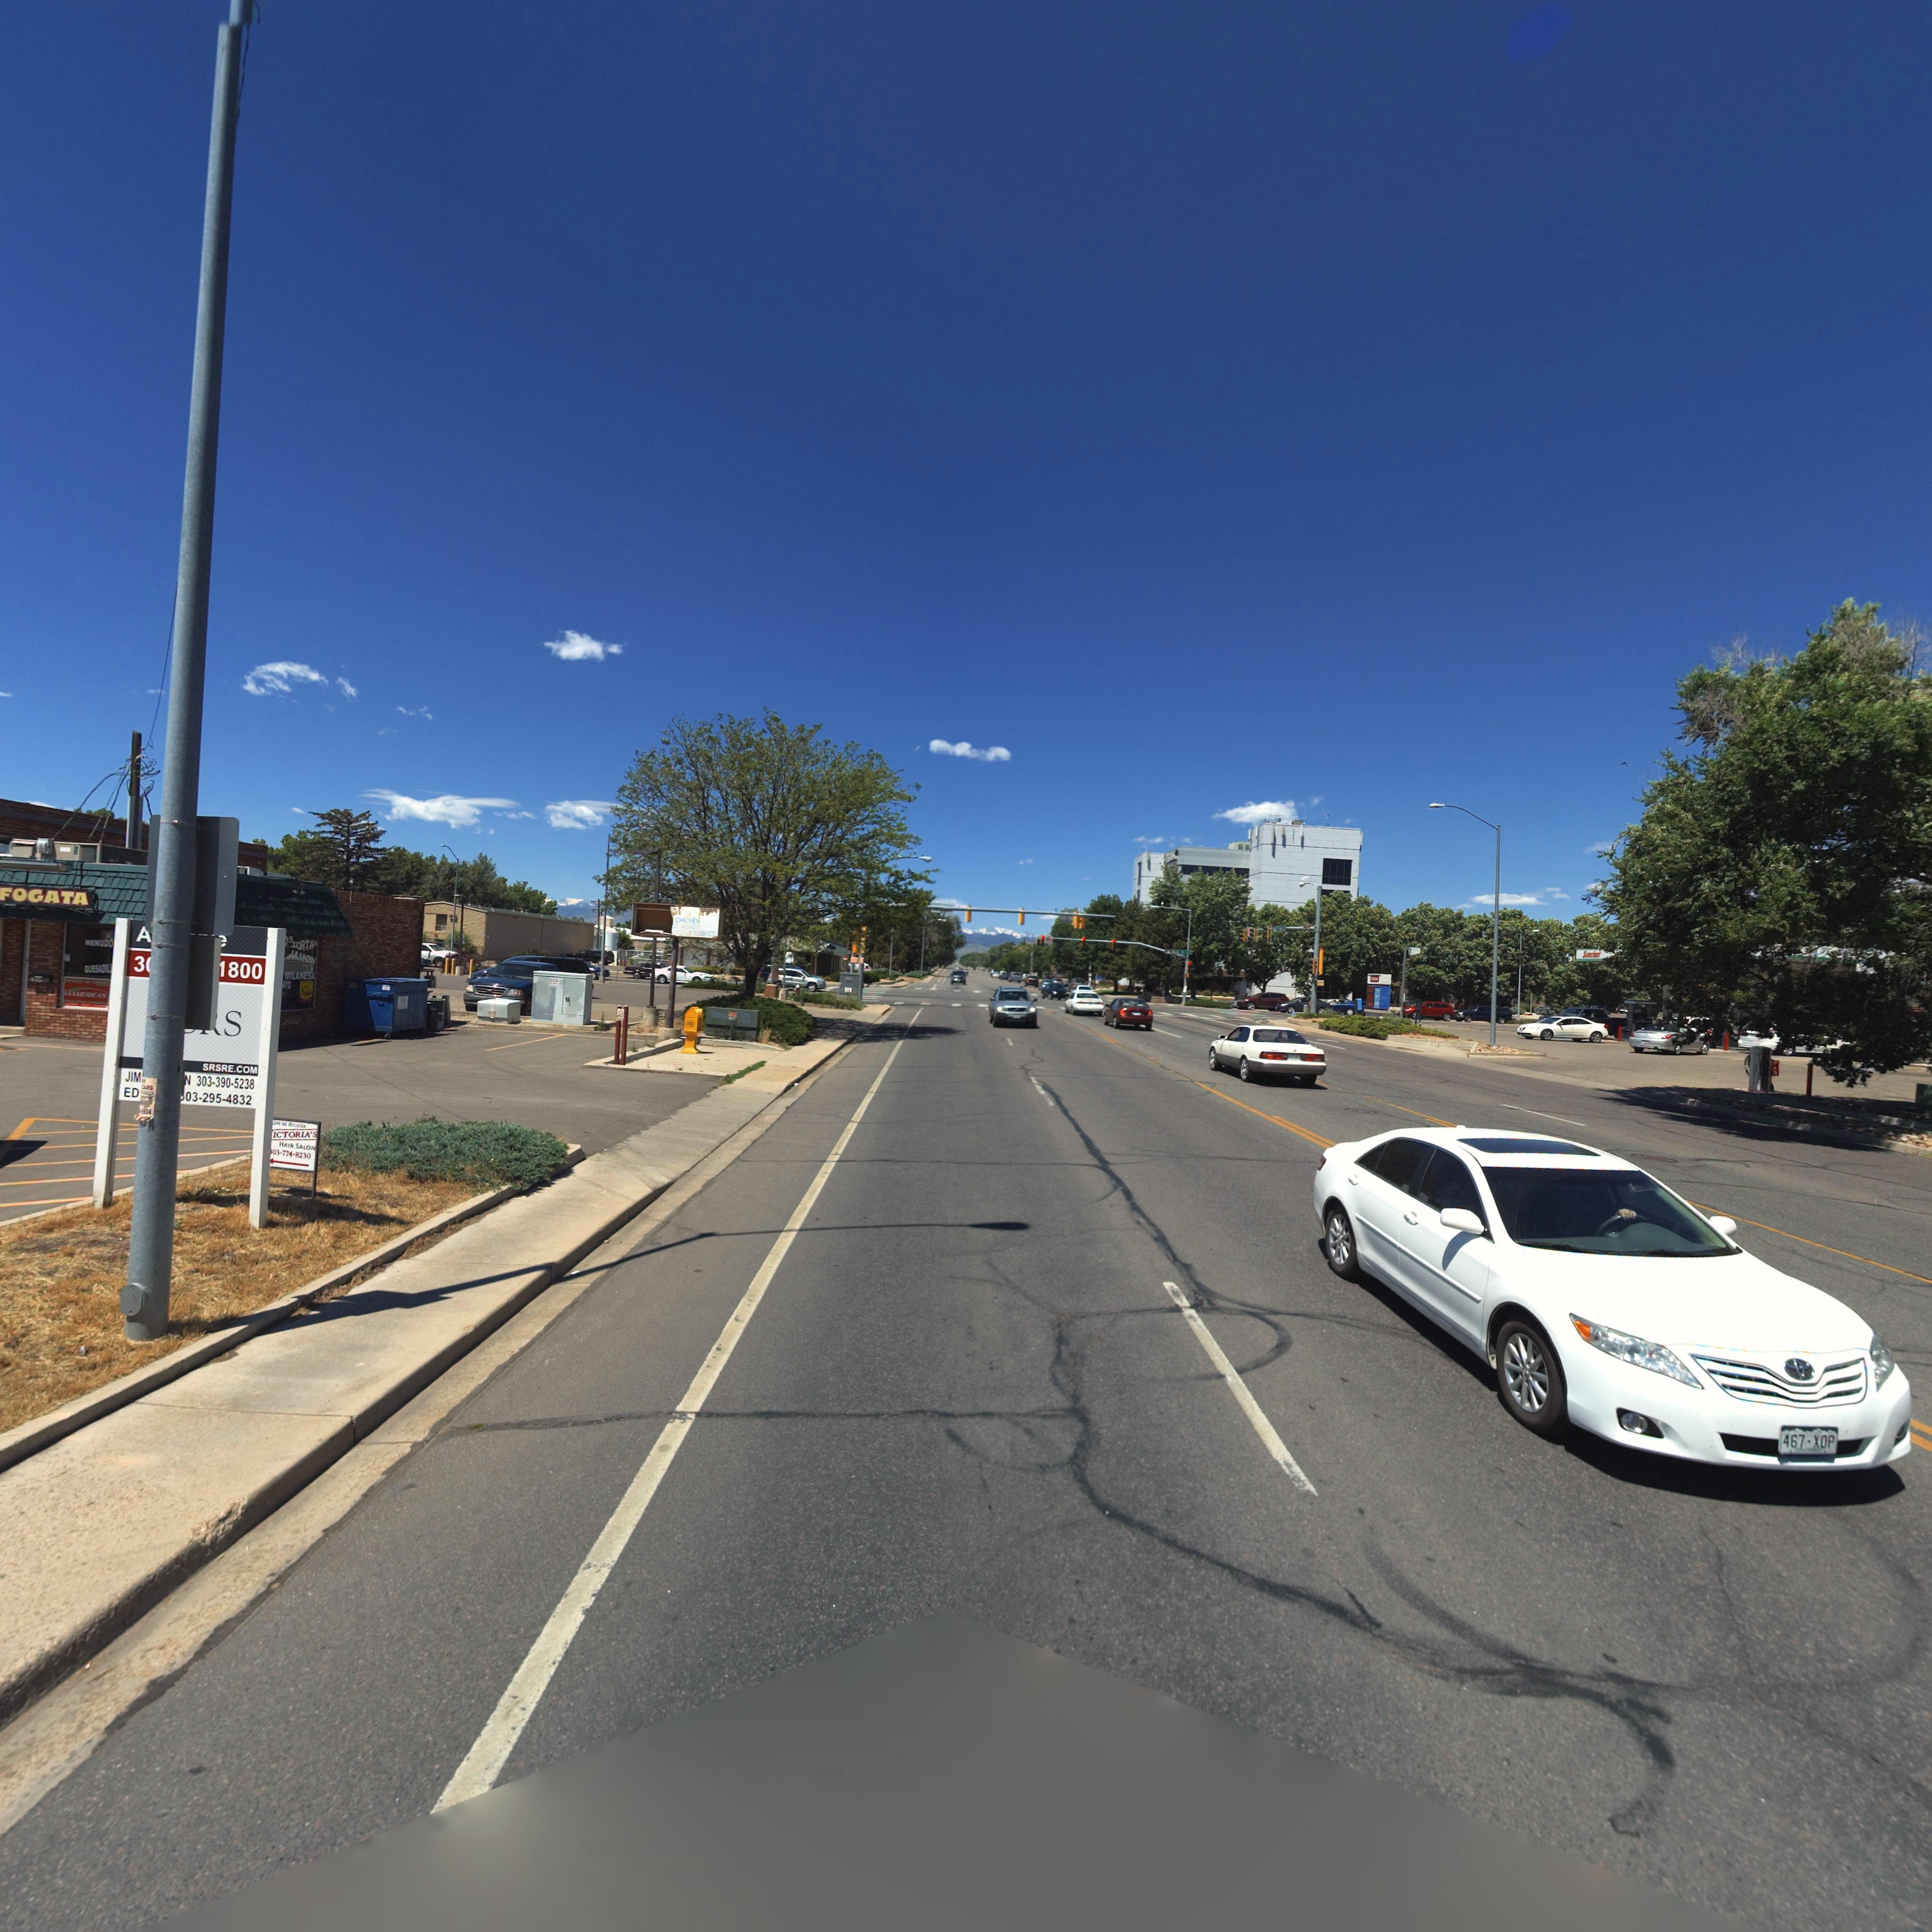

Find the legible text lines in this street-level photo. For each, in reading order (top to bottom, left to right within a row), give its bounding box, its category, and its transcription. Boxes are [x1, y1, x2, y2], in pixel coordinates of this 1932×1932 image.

[1, 886, 90, 907] BusinessName: FOGATA
[1171, 950, 1185, 954] StreetName: Main St
[1582, 950, 1602, 958] BusinessName: Sinclair
[272, 1130, 317, 1139] BusinessName: ICTORIA'S
[279, 1141, 316, 1151] BusinessName: HAIR SALON